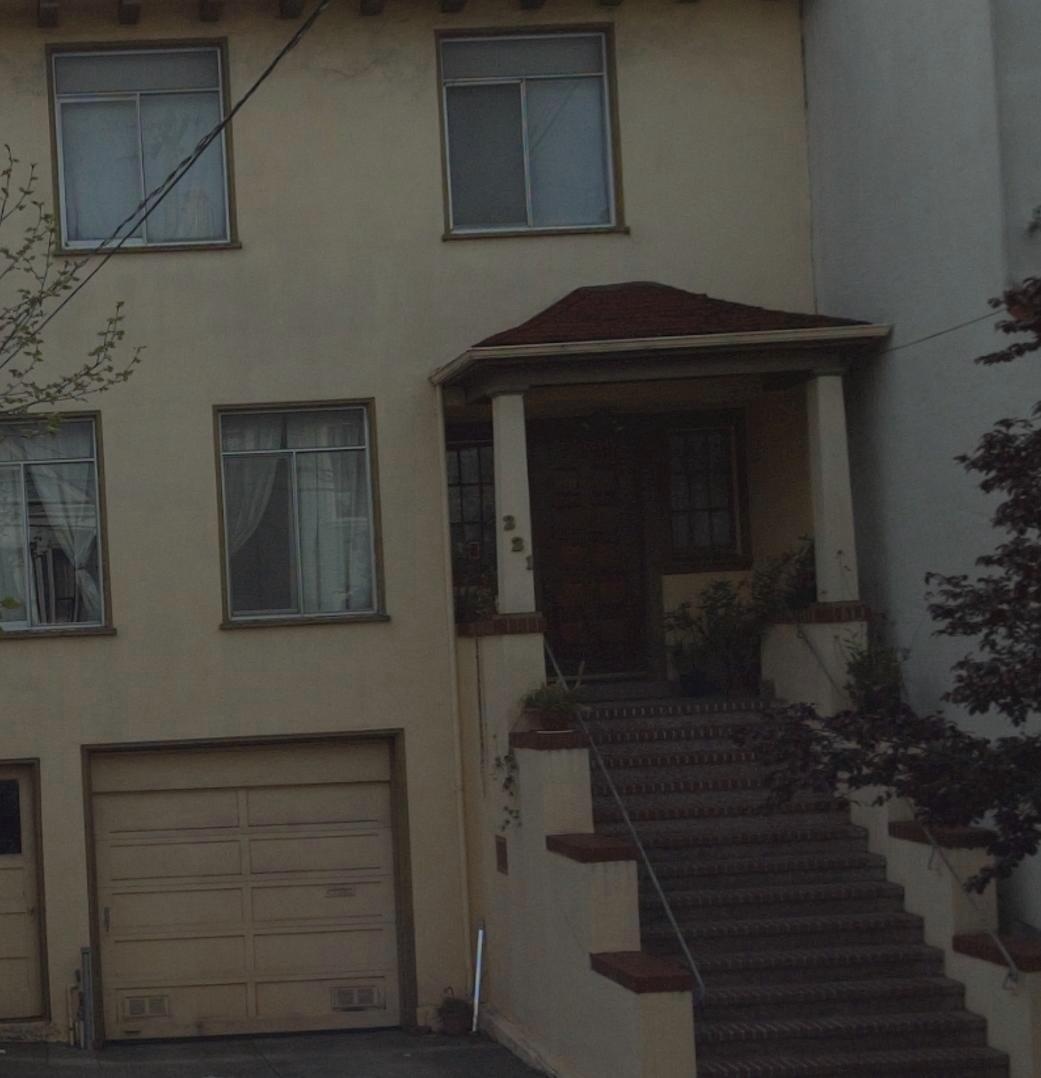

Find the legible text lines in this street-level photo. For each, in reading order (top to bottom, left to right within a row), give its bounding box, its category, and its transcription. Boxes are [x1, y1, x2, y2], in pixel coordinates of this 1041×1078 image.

[502, 514, 534, 571] StreetNumber: 221